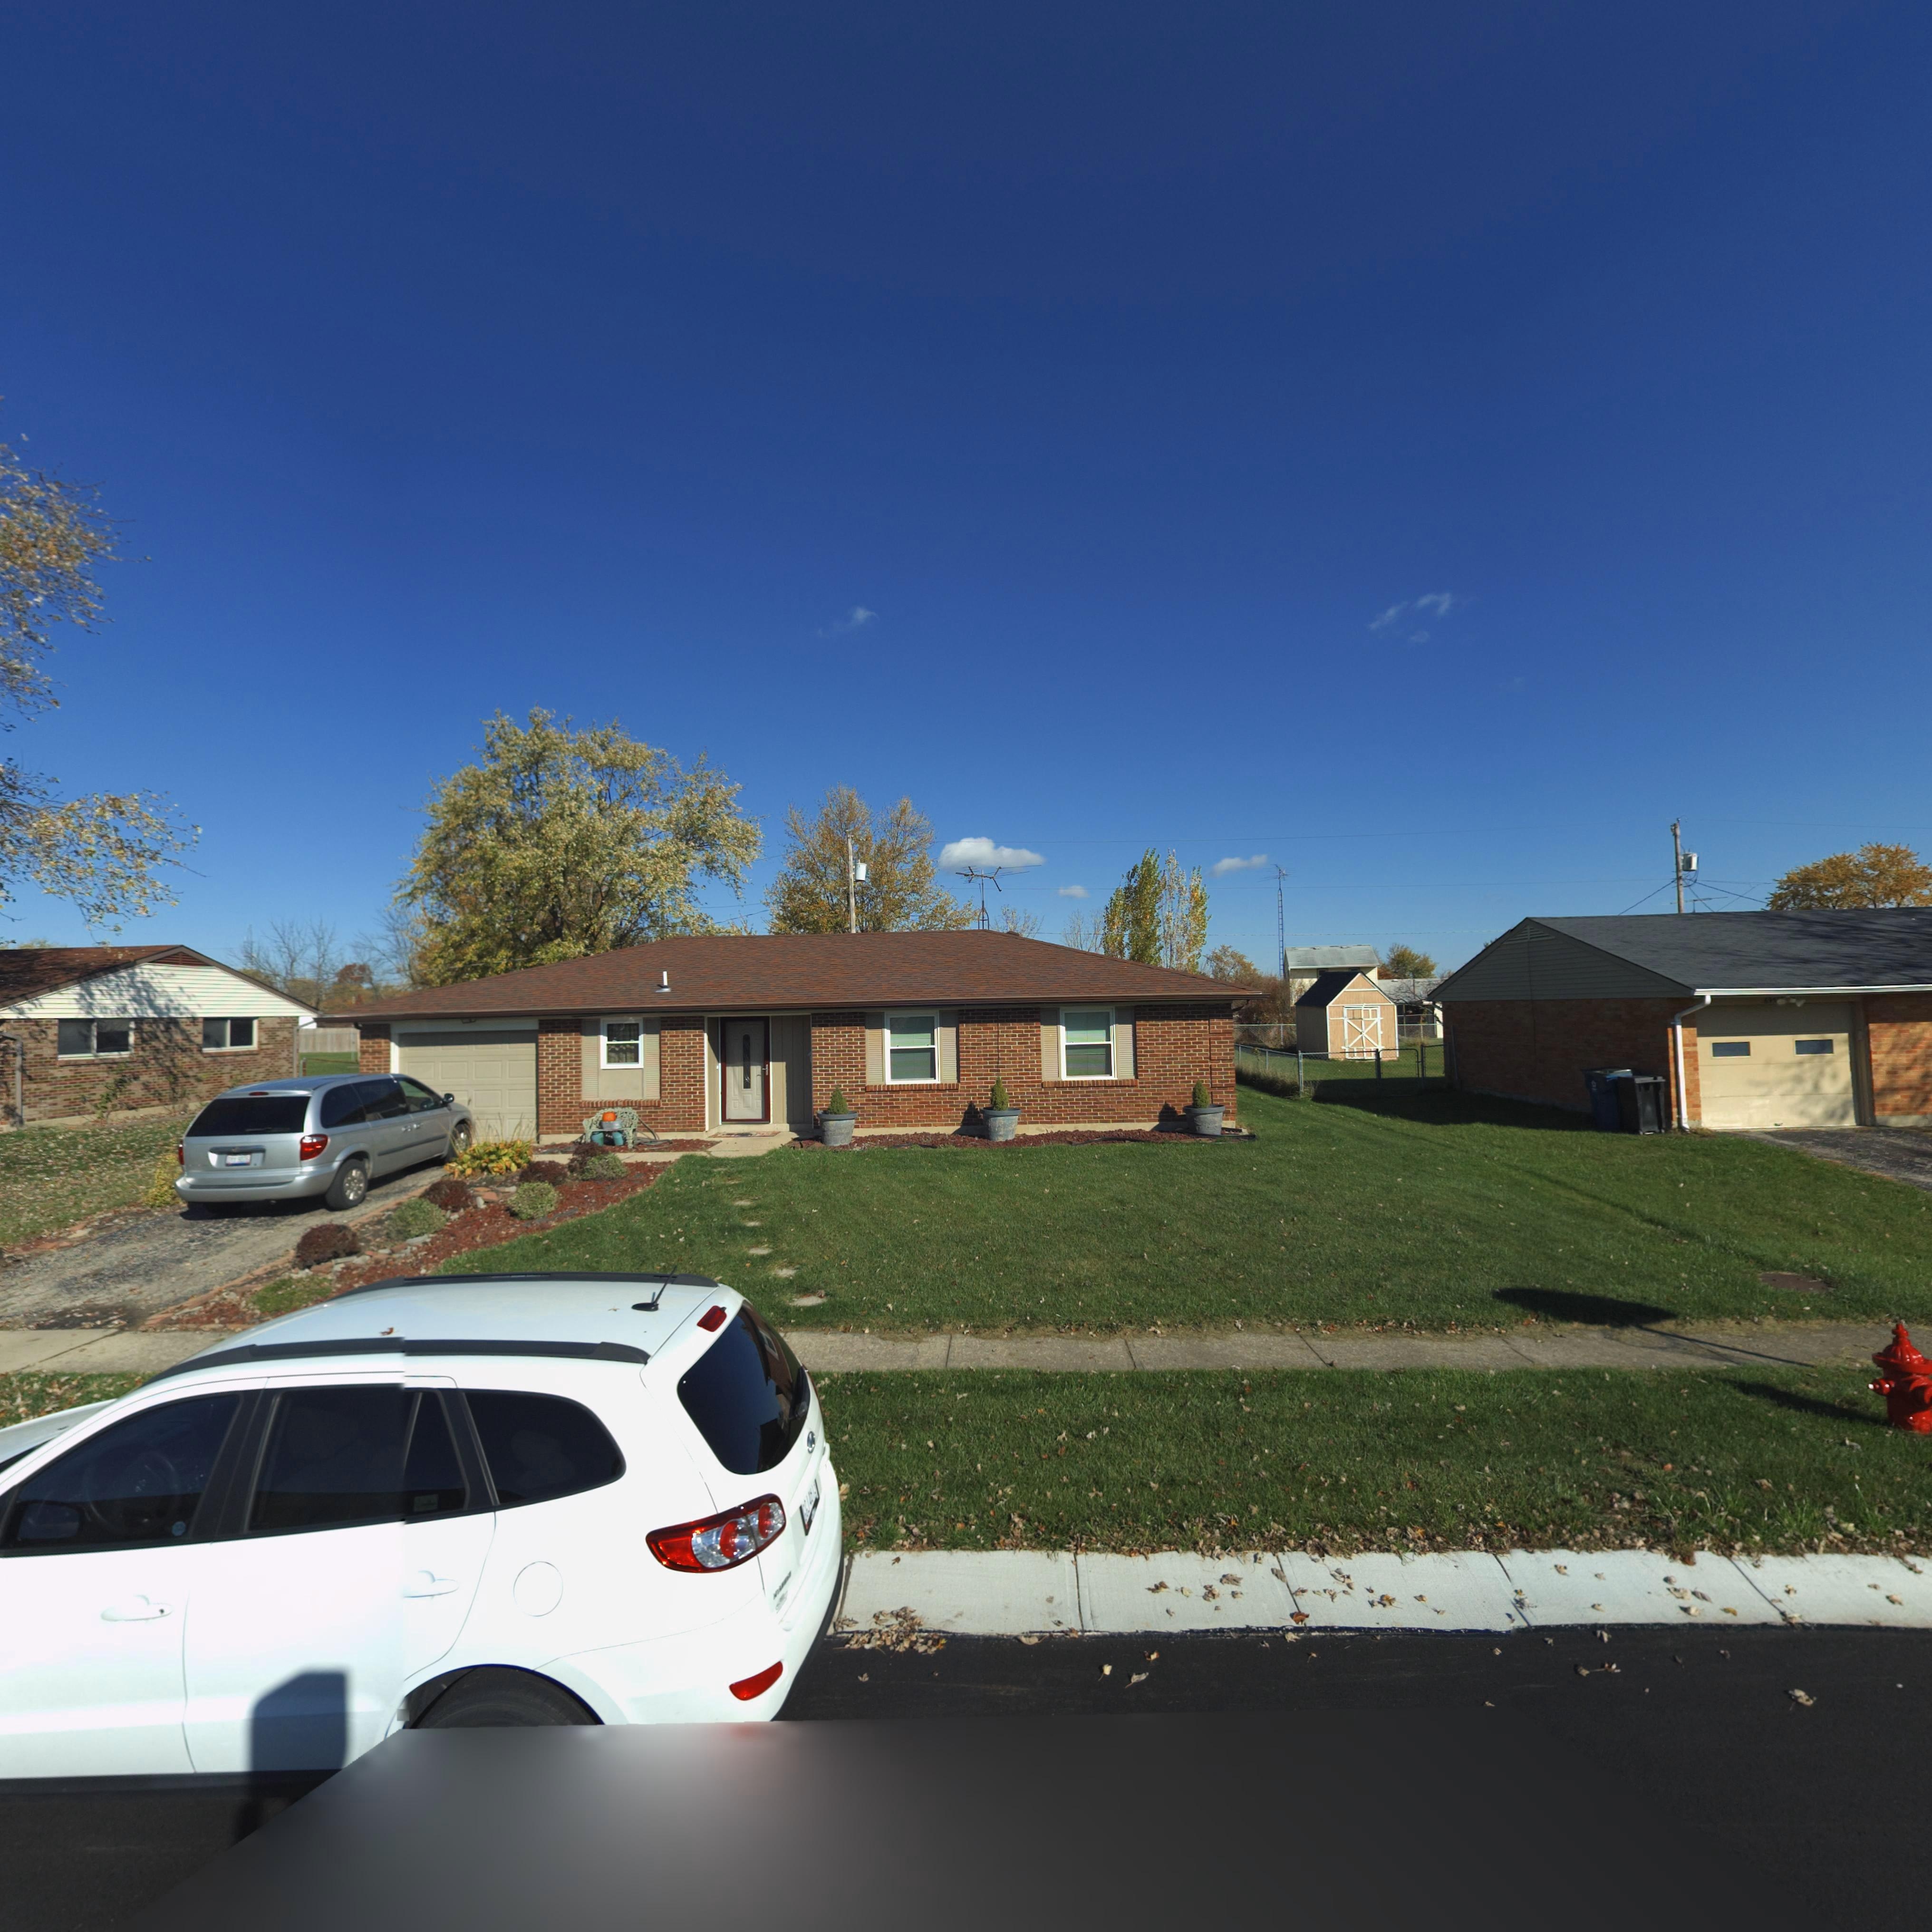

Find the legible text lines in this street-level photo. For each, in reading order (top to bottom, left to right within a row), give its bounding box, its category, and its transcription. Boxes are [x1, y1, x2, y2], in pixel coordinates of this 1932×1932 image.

[1763, 997, 1772, 1004] StreetNumber: 69